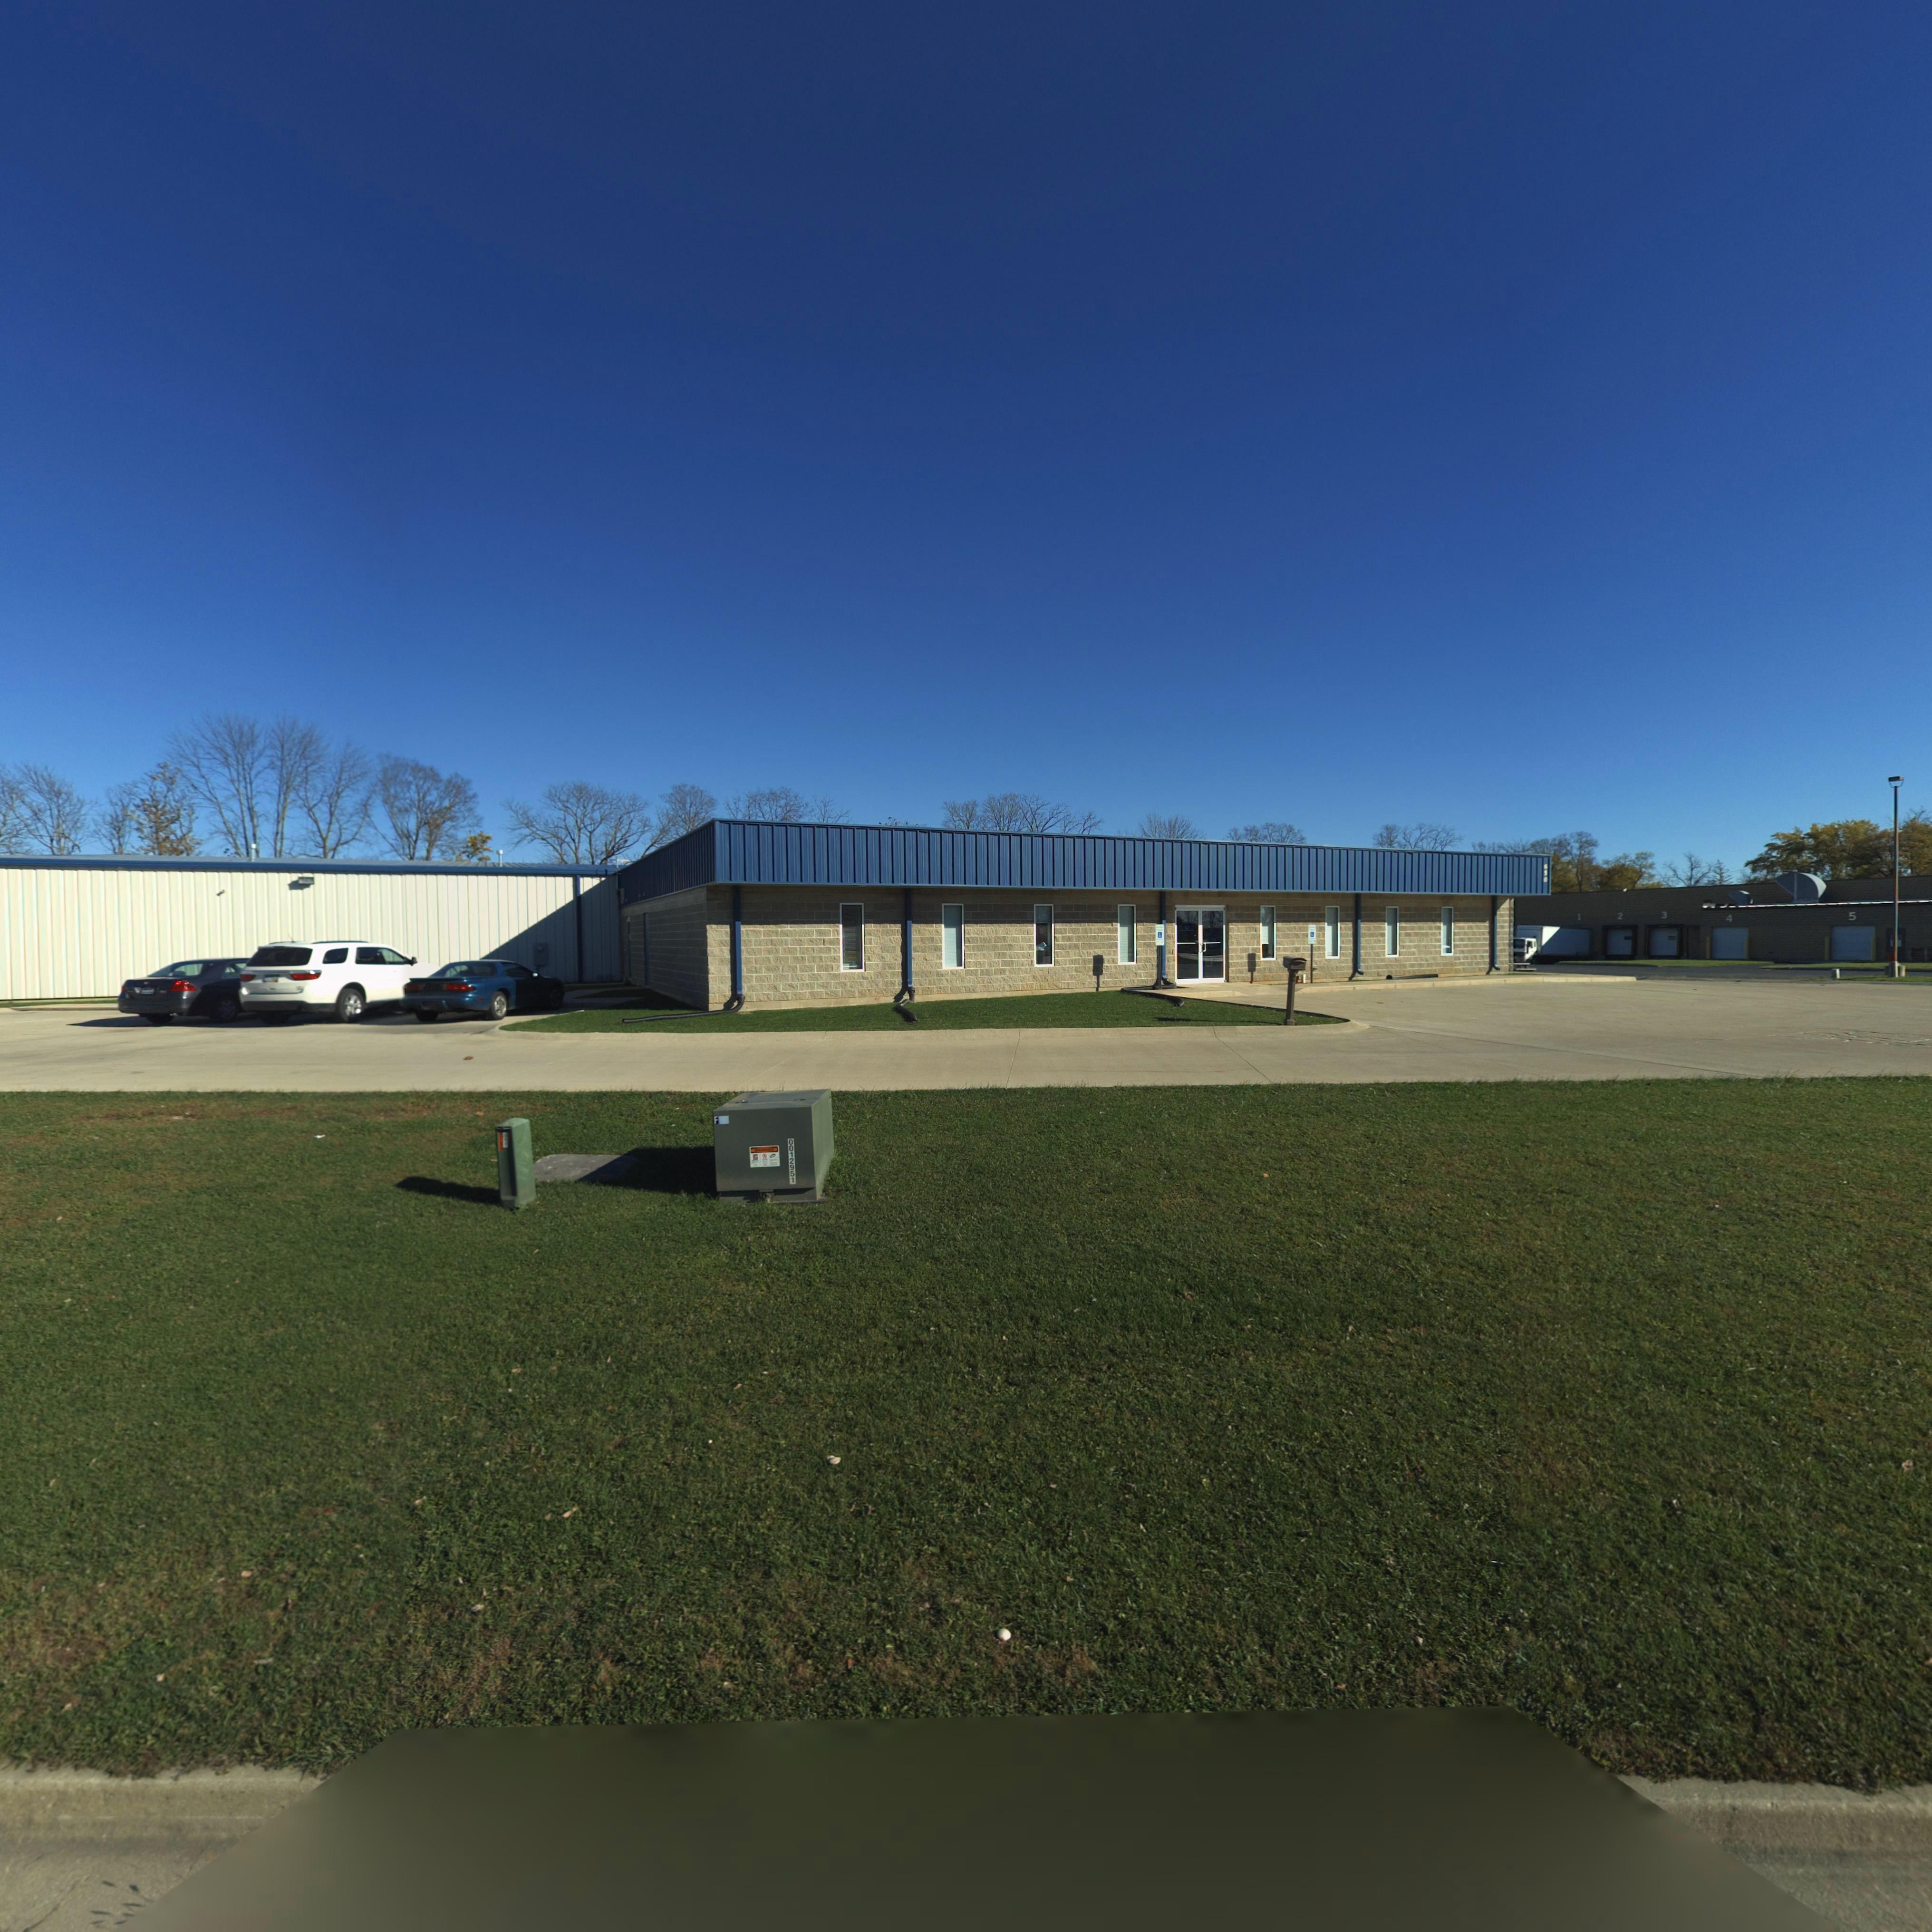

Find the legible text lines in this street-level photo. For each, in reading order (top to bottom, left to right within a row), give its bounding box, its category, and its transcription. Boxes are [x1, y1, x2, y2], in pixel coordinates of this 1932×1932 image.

[1543, 863, 1548, 883] StreetNumber: 650